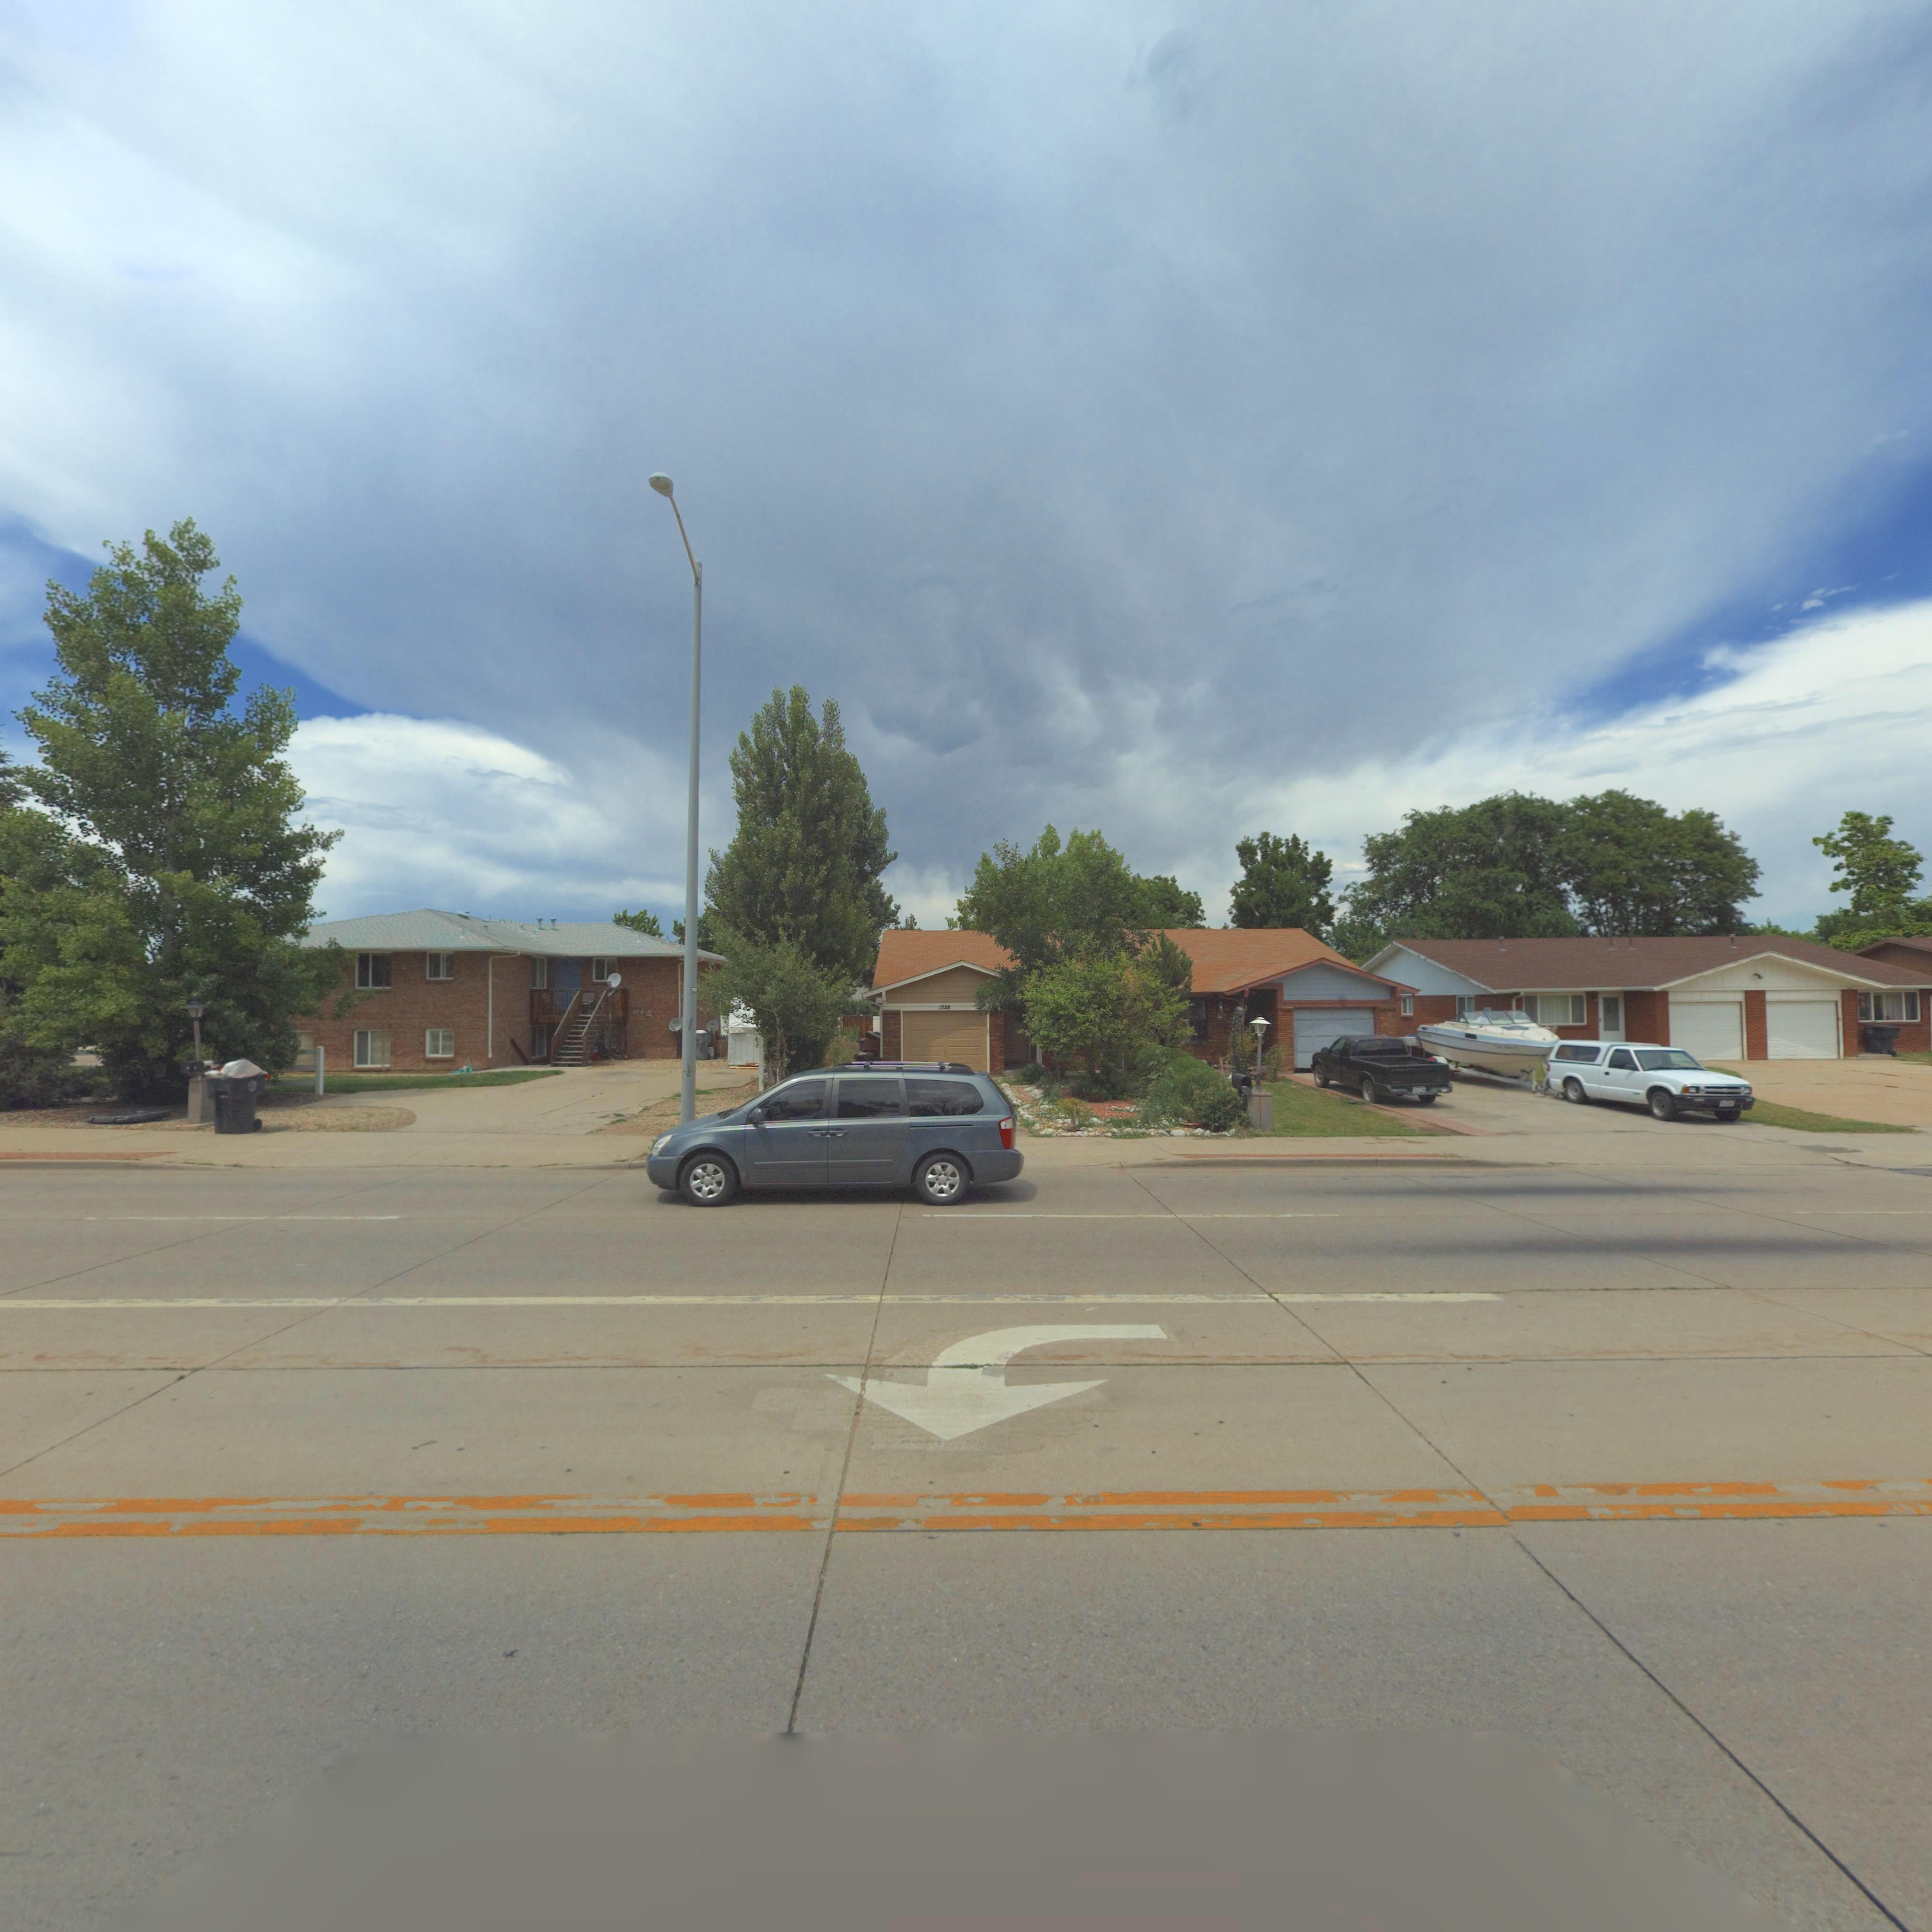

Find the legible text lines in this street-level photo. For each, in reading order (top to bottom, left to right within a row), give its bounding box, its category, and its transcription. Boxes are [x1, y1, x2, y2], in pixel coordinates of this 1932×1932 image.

[938, 1005, 950, 1010] StreetNumber: 1320